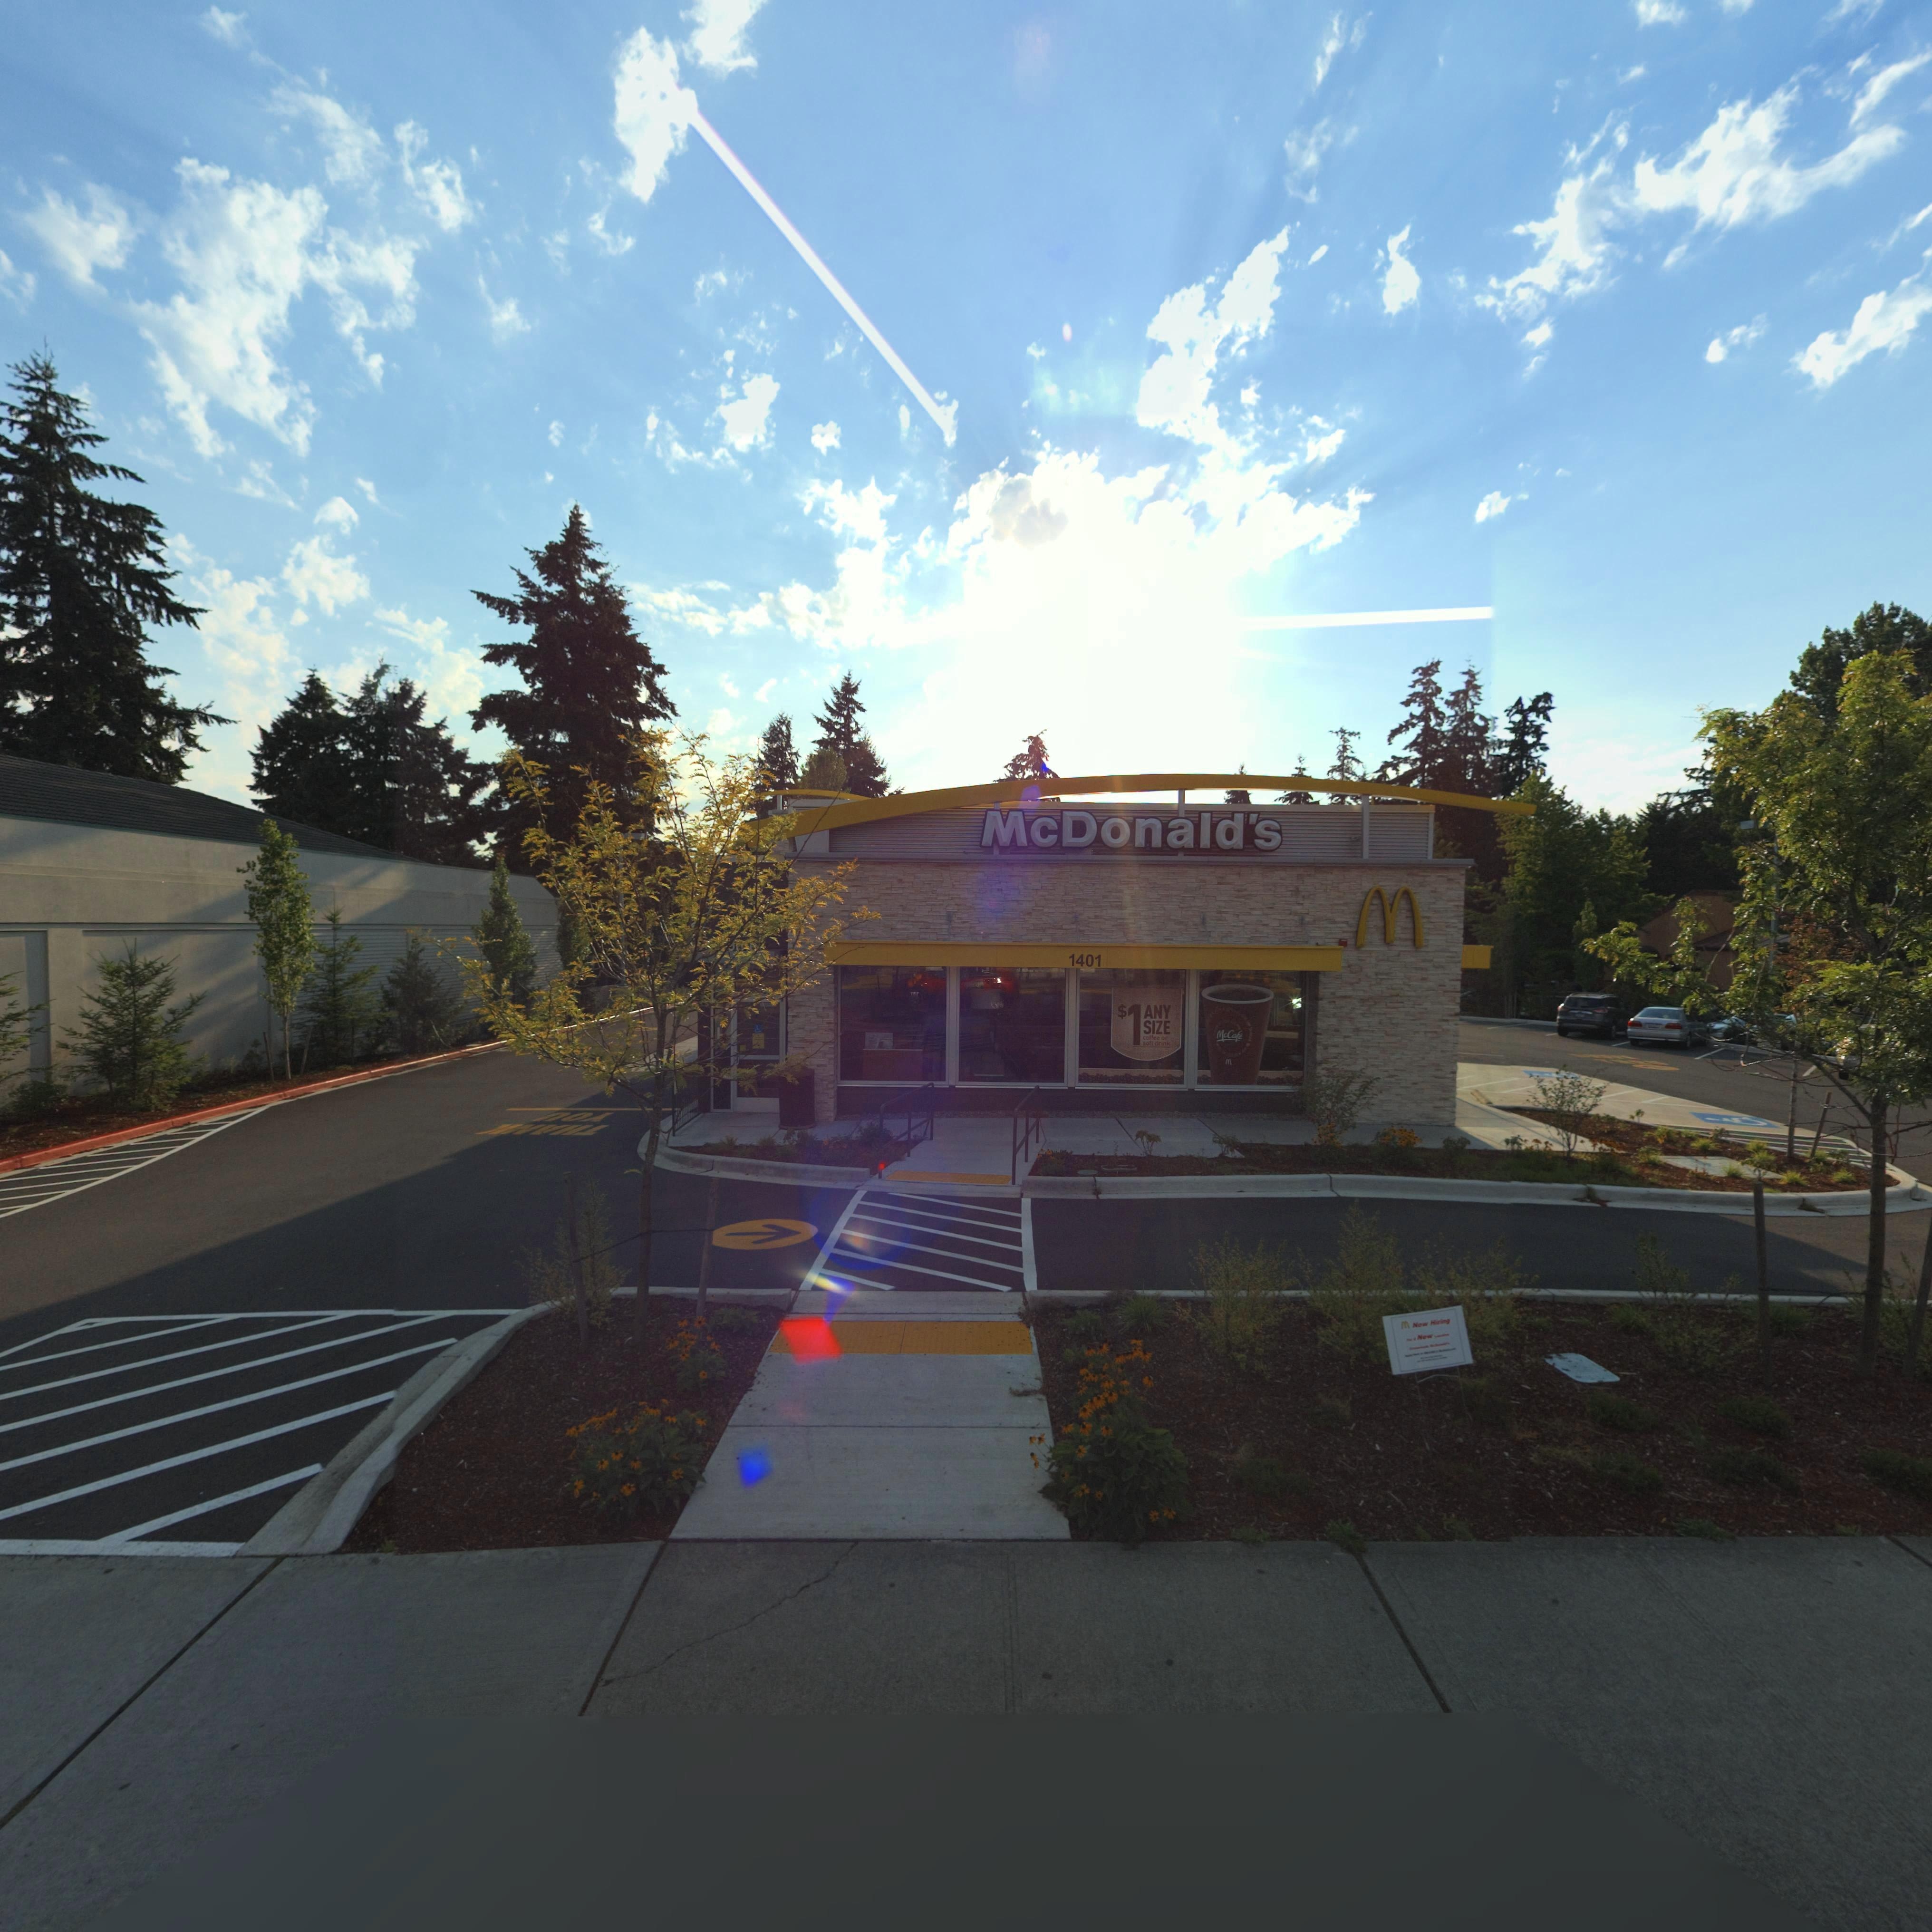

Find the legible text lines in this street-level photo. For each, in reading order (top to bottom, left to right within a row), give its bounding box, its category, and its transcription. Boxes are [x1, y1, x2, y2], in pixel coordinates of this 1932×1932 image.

[982, 811, 1281, 849] BusinessName: McDonald s
[1069, 954, 1101, 967] StreetNumber: 1401